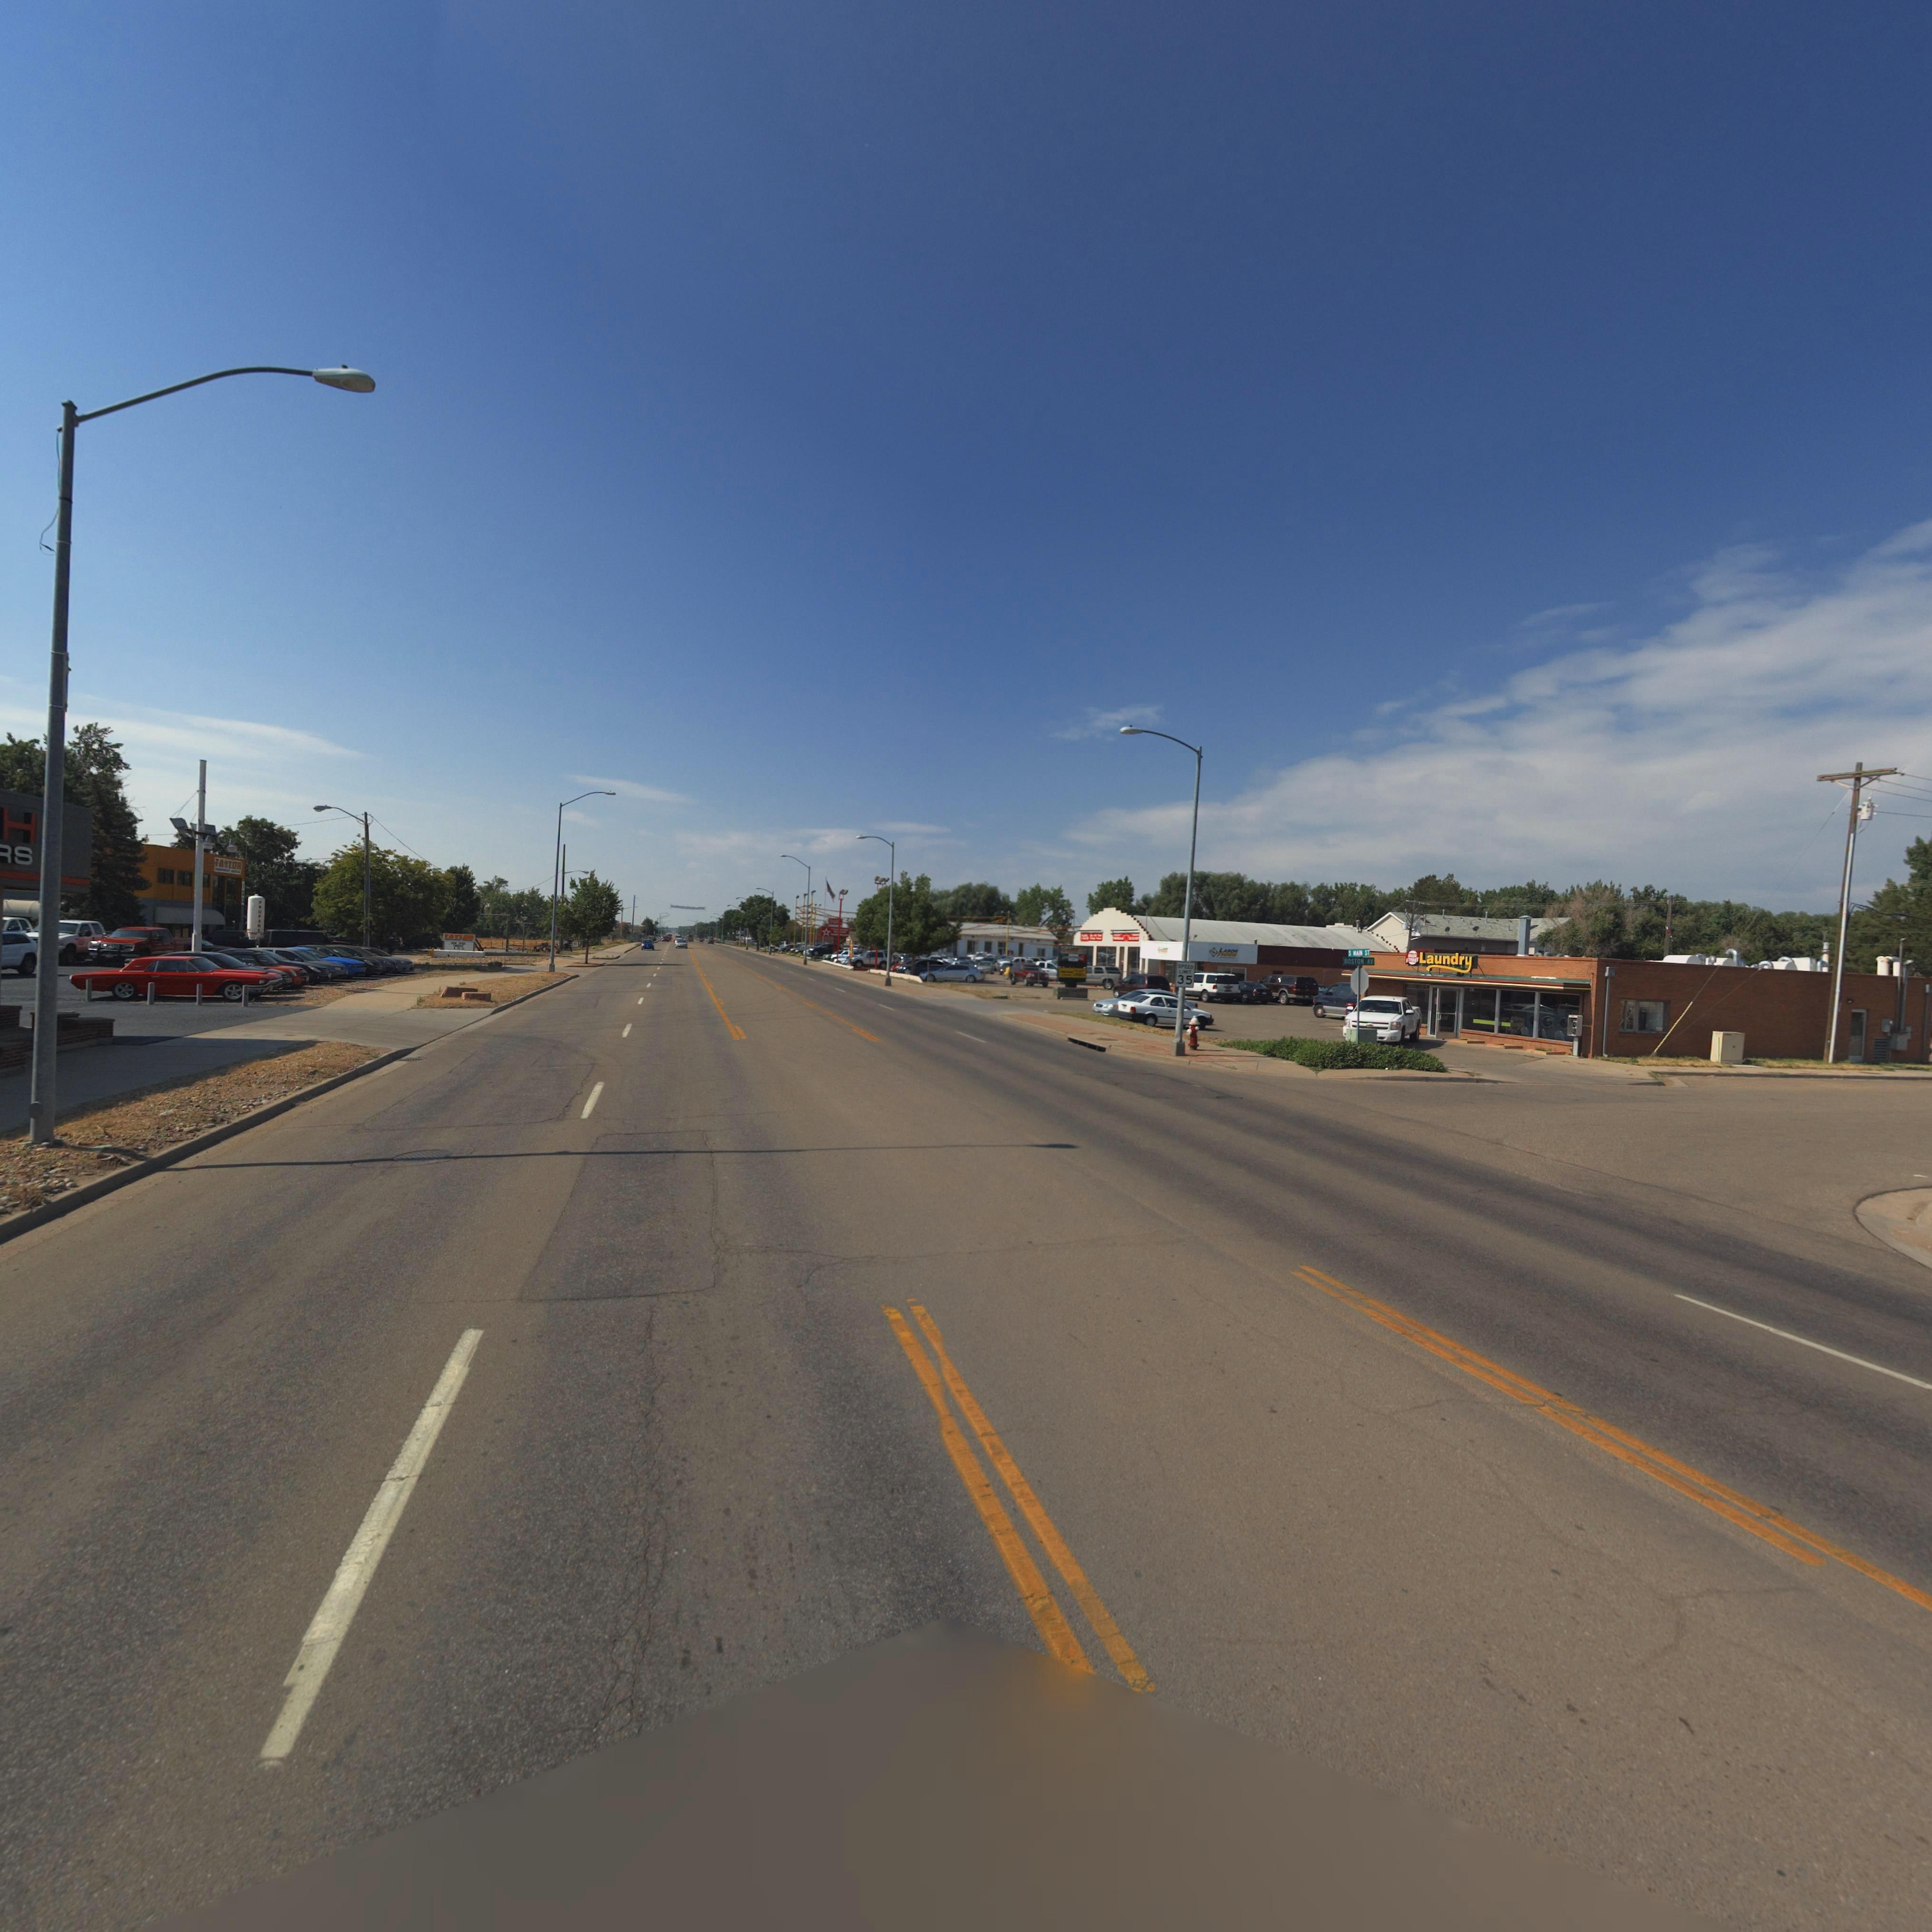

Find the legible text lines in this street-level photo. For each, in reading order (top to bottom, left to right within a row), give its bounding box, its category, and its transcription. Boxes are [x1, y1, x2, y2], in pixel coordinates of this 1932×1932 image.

[2, 807, 37, 844] BusinessName: H
[13, 845, 33, 866] BusinessName: S
[214, 858, 241, 870] BusinessName: TAYLOR
[444, 934, 474, 939] BusinessName: TAYLOR
[1160, 947, 1168, 950] BusinessName: L****
[1216, 952, 1237, 957] BusinessName: F******
[1219, 947, 1238, 953] BusinessName: LABOR
[1348, 949, 1370, 956] StreetName: S MAIN ST
[1408, 953, 1417, 957] BusinessName: MA**
[1344, 958, 1373, 964] StreetName: BOSTON AV
[1405, 957, 1419, 963] BusinessName: S***ET
[1419, 951, 1472, 973] BusinessName: LAUNDRY